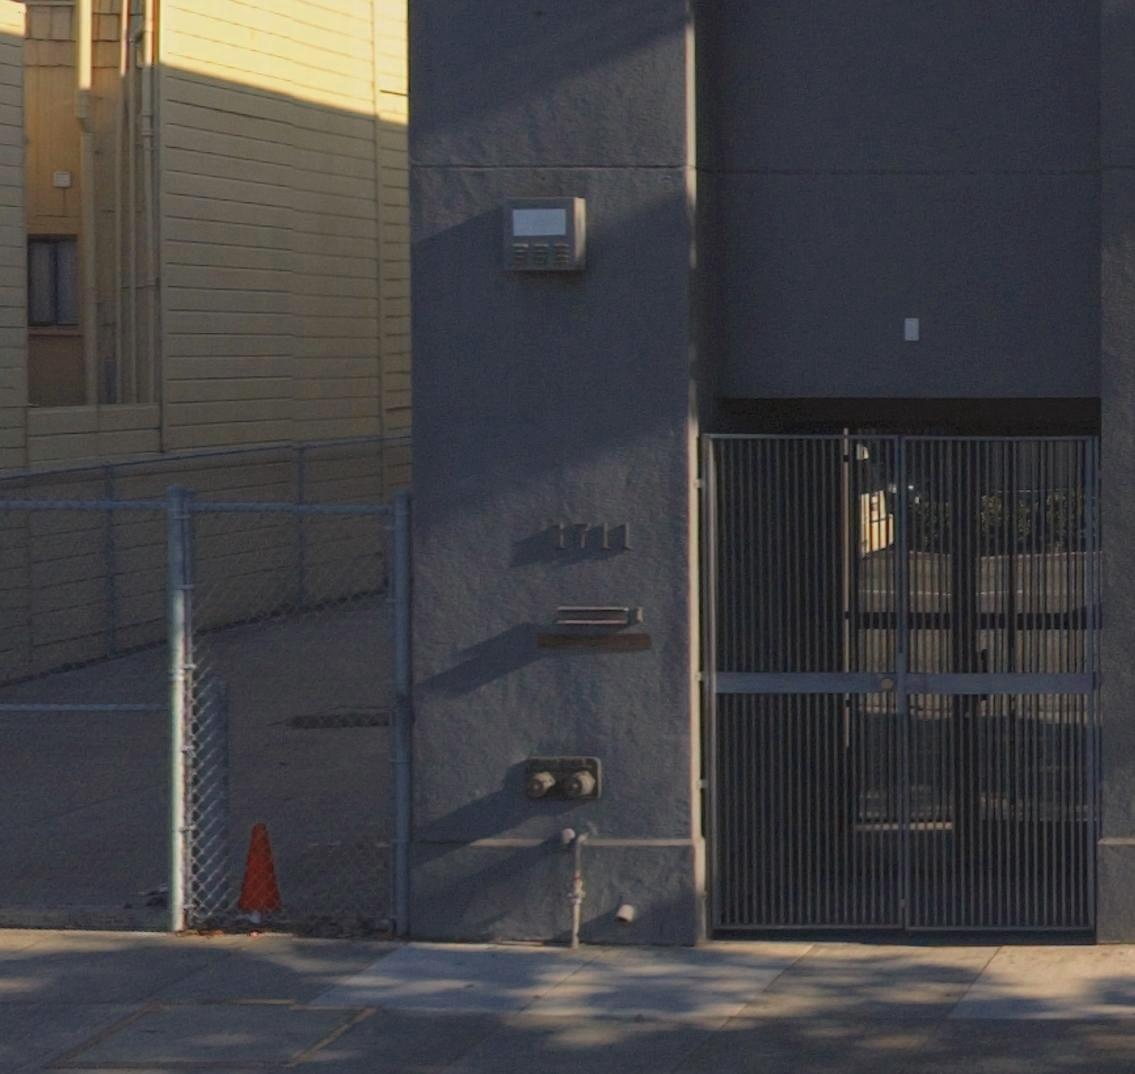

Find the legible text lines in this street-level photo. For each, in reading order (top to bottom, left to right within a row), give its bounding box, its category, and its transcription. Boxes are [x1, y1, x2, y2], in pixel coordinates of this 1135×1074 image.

[551, 519, 635, 552] StreetNumber: 1711